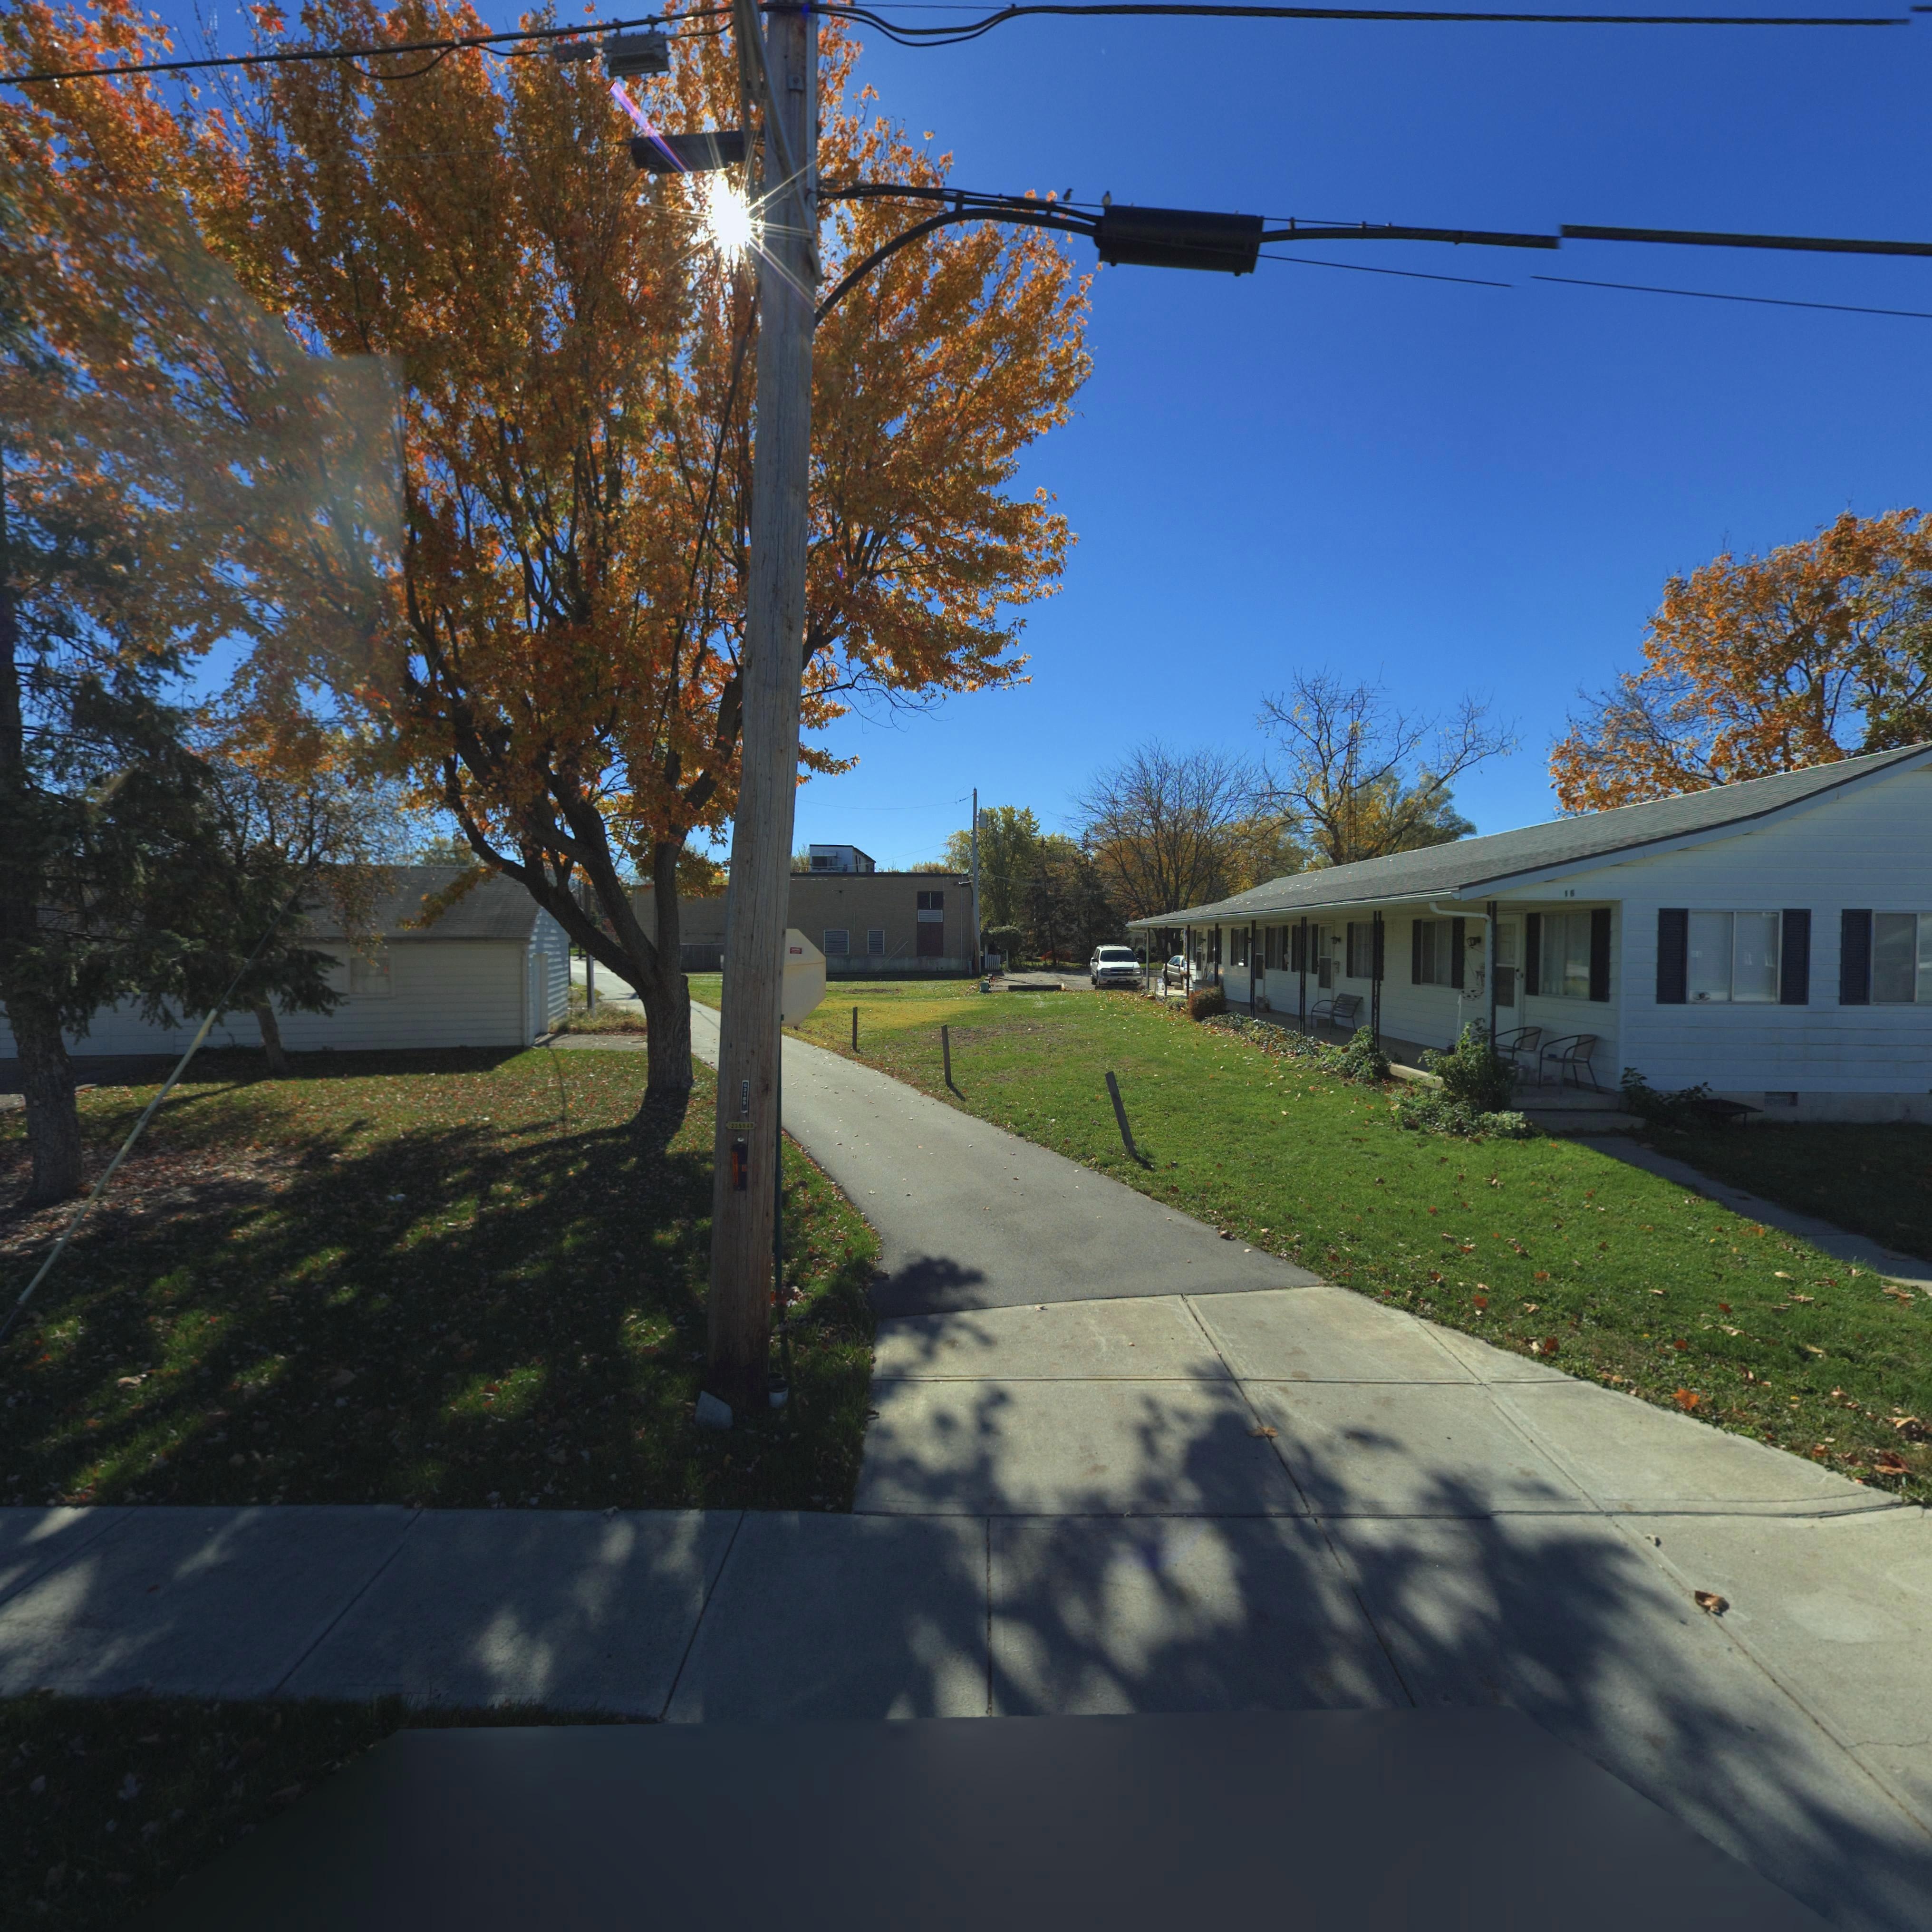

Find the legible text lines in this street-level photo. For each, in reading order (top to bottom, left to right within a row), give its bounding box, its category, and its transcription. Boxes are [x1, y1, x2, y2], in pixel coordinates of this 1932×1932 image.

[1564, 889, 1575, 897] StreetNumber: 1*